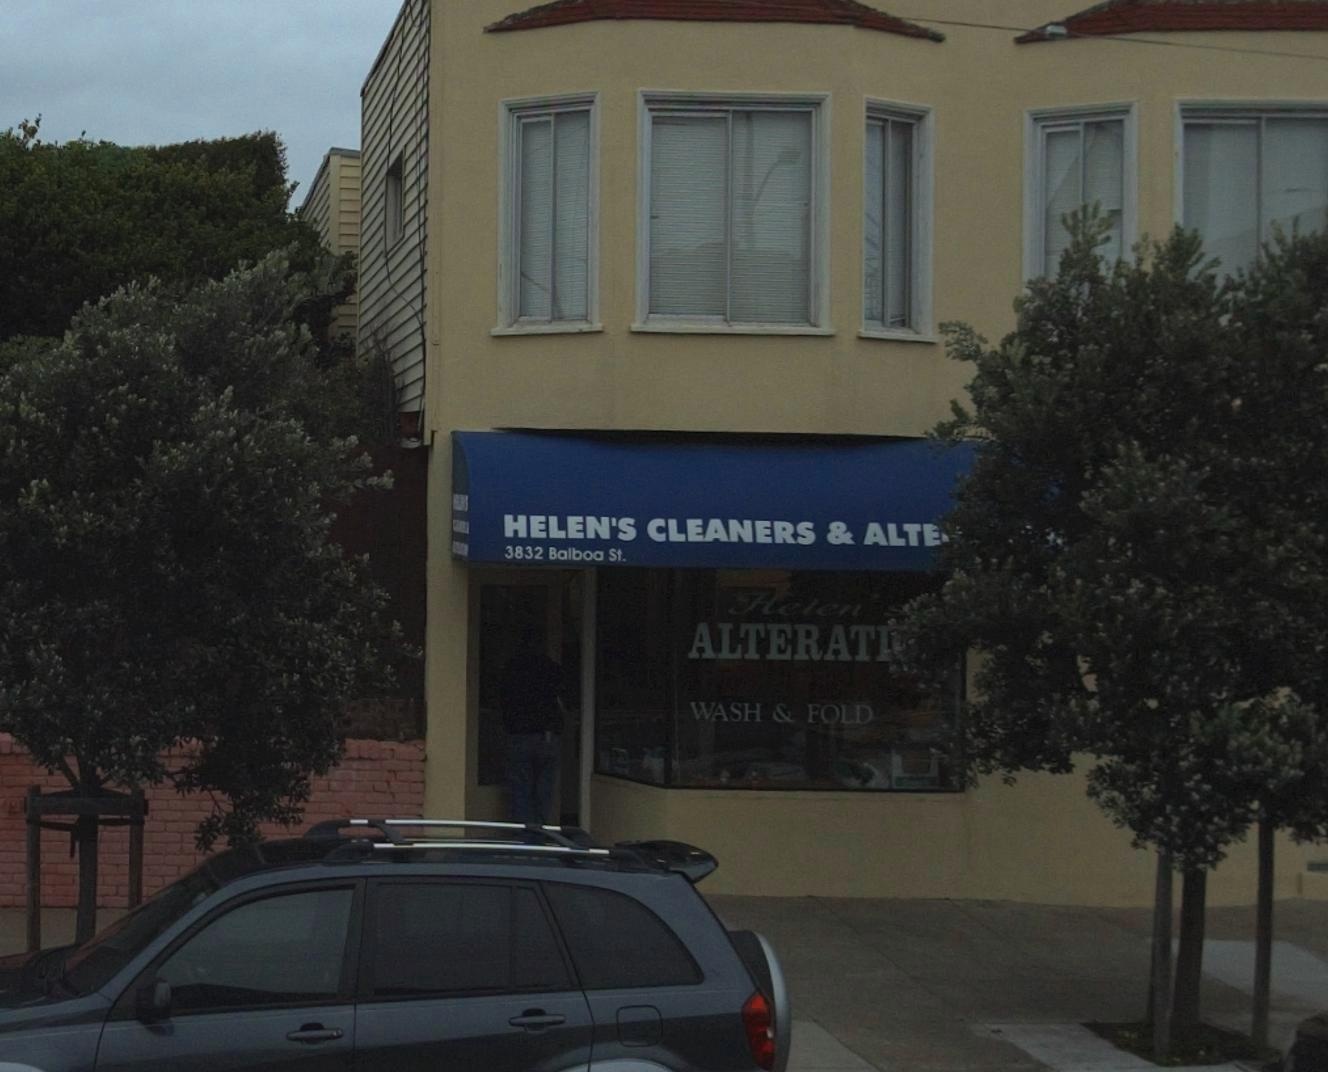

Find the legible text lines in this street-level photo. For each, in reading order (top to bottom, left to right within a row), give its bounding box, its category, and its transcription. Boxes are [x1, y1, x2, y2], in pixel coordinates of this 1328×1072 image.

[502, 511, 923, 549] BusinessName: HELEN'S CLEANERS & ALT
[502, 543, 545, 562] StreetNumber: 3832
[546, 544, 628, 563] StreetName: Balboa St.
[722, 589, 867, 620] BusinessName: Helen
[683, 619, 878, 664] BusinessName: ALTERAT
[687, 700, 877, 727] None: WASH & FOLD